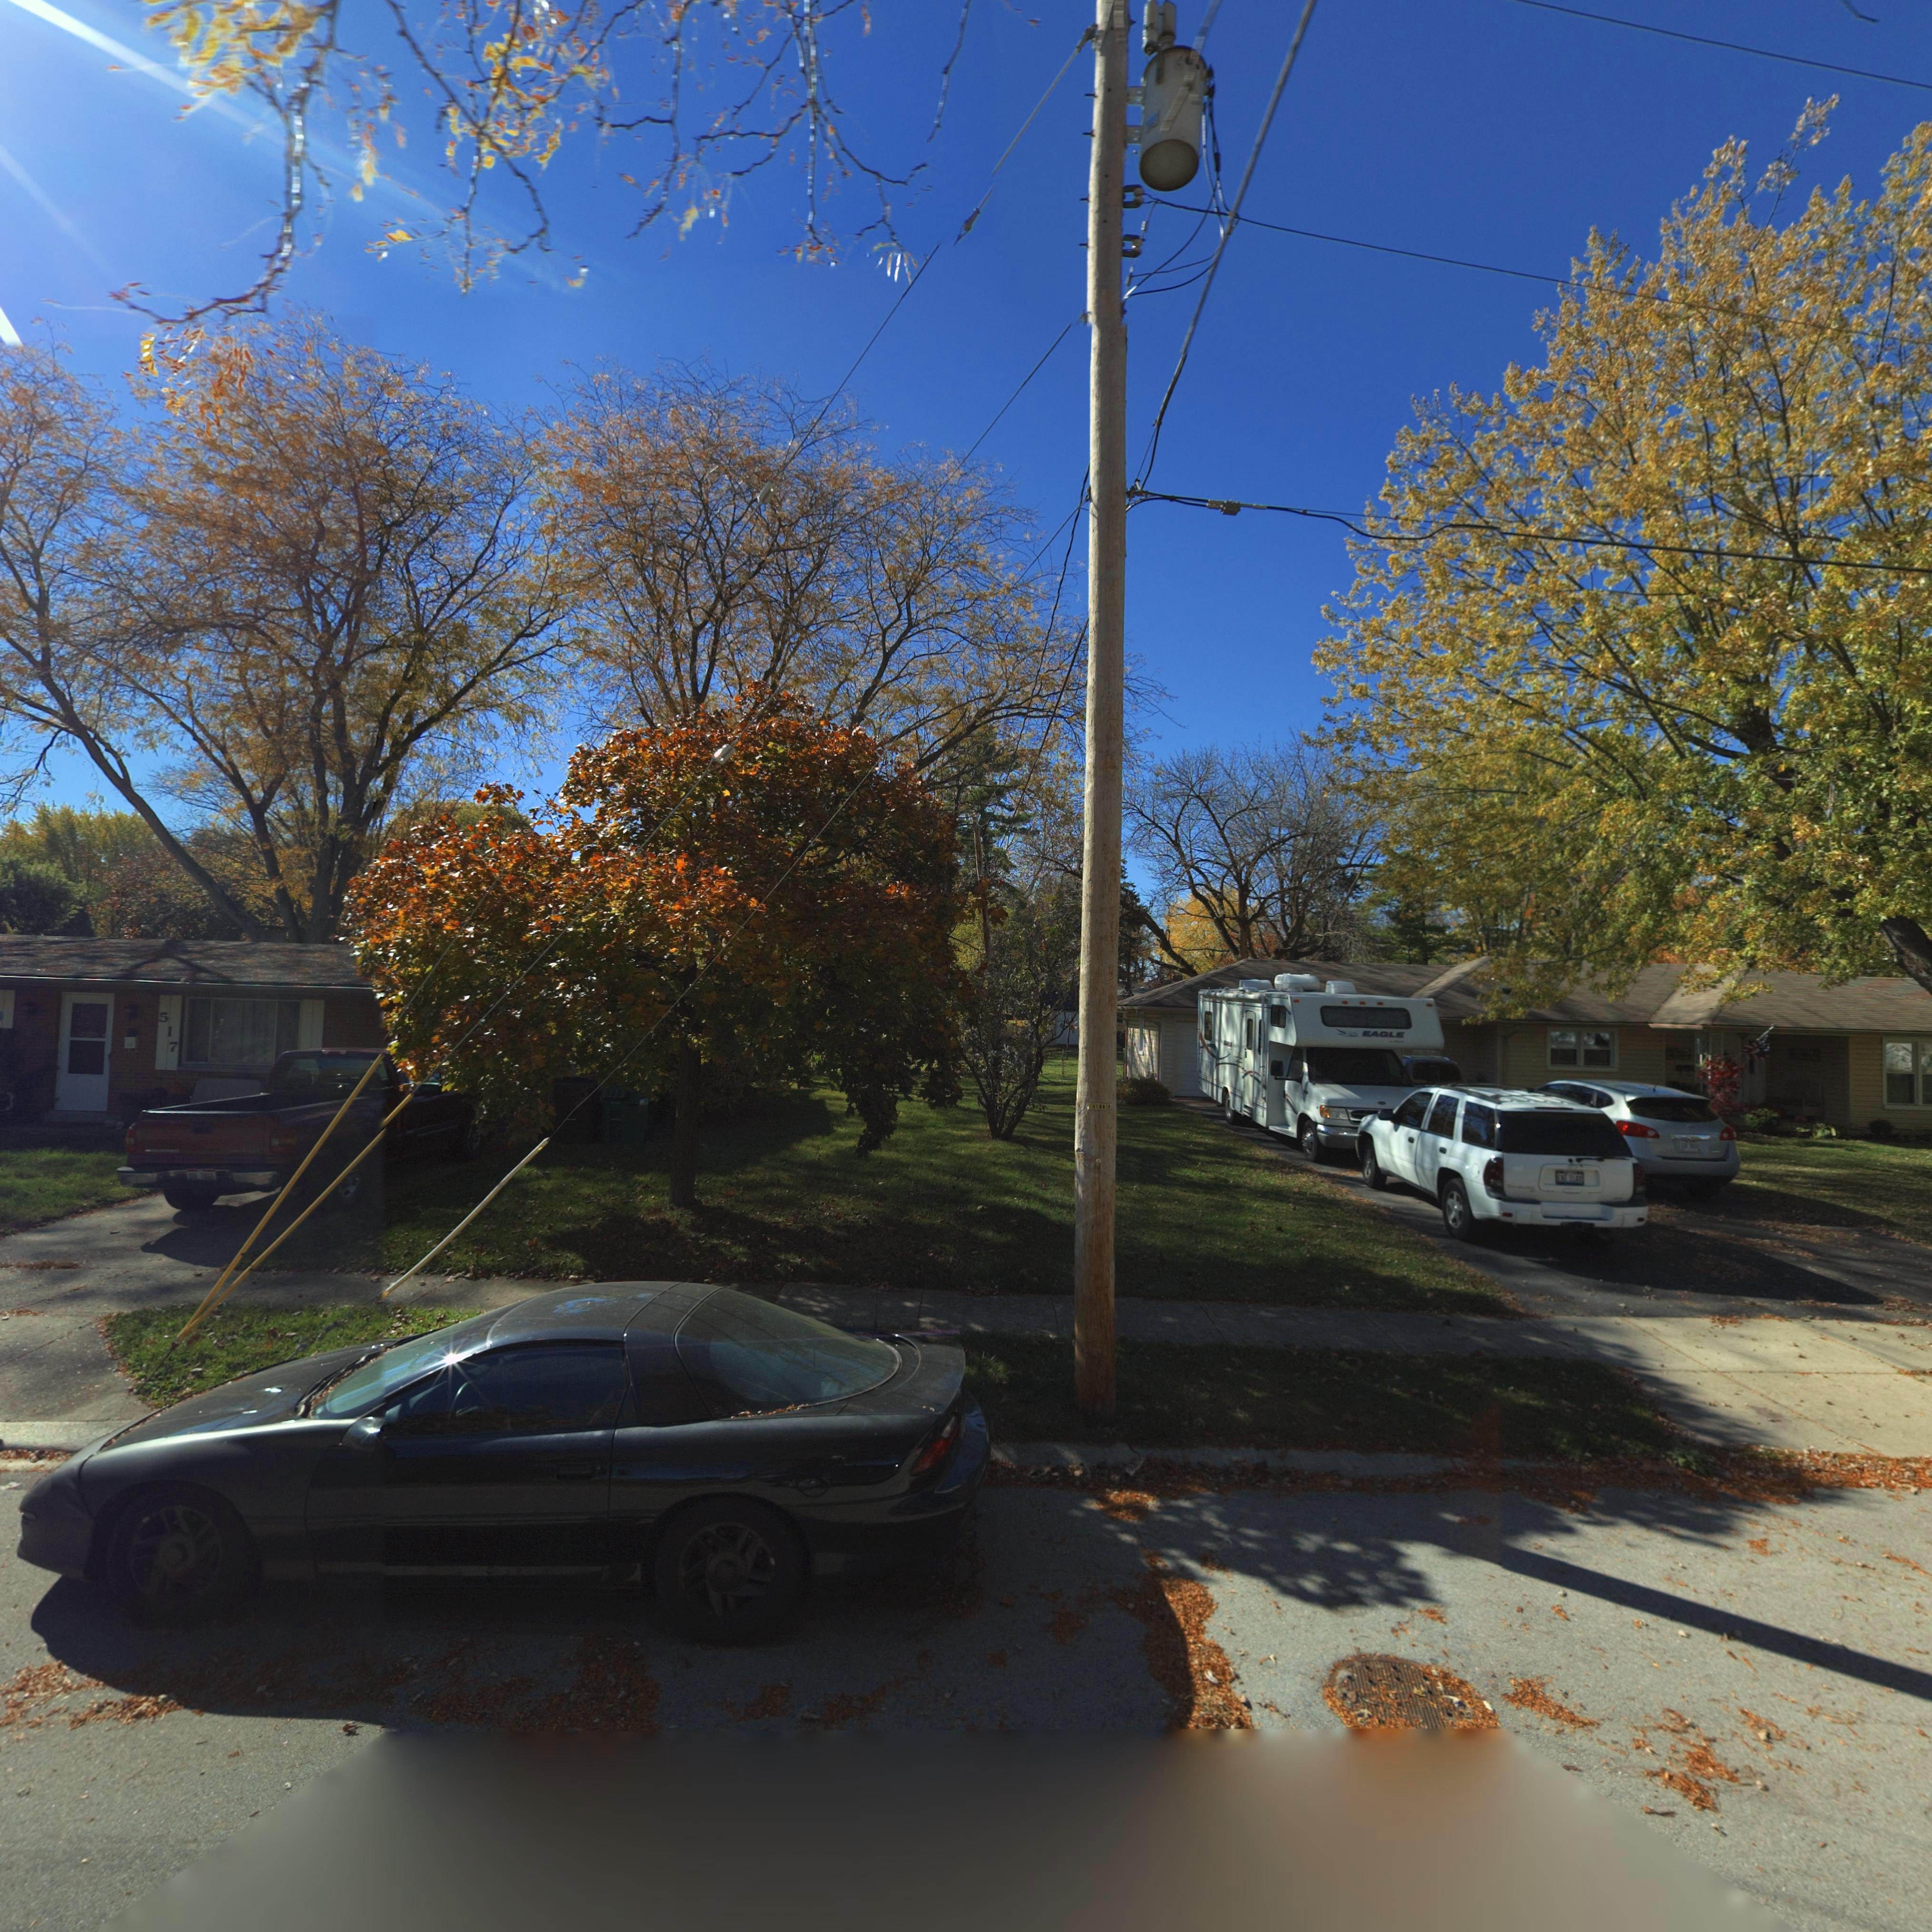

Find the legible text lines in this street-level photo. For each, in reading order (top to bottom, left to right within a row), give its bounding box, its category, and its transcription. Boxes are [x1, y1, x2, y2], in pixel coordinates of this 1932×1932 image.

[158, 1011, 180, 1053] StreetNumber: 517